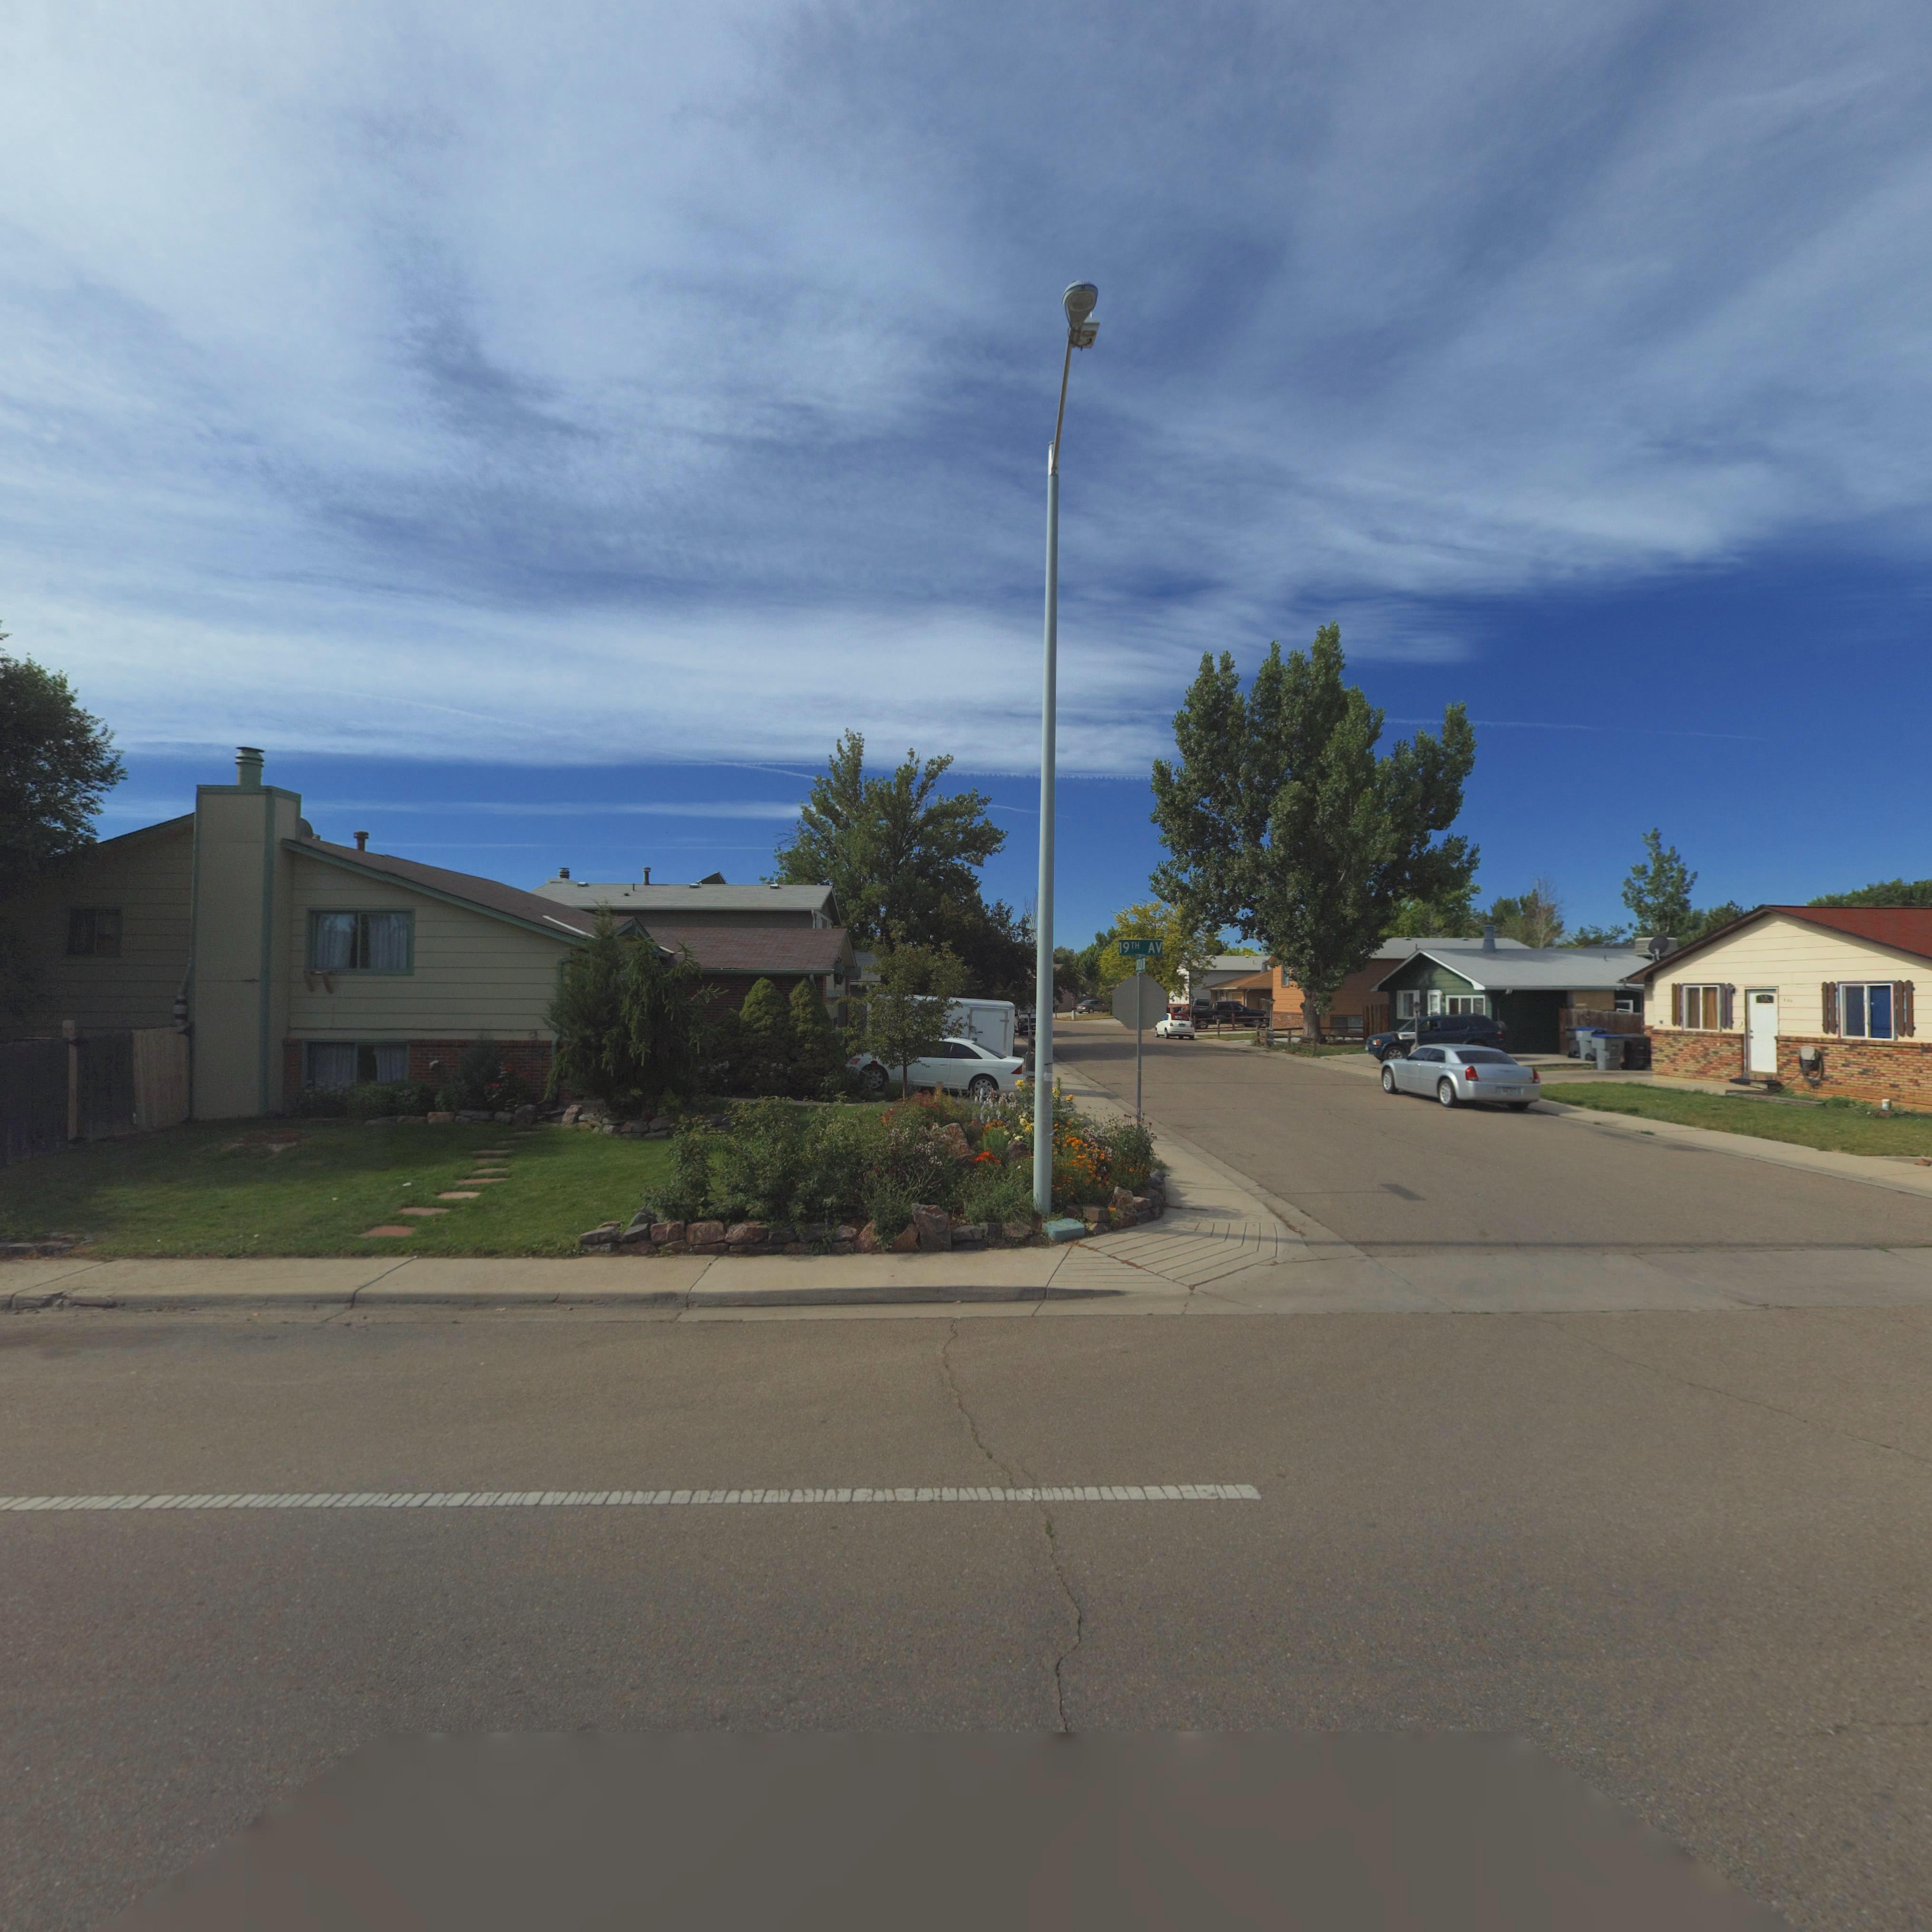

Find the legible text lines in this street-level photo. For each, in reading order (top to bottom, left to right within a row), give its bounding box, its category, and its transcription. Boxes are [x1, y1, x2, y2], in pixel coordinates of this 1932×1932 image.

[1119, 940, 1162, 954] StreetName: 19TH AV